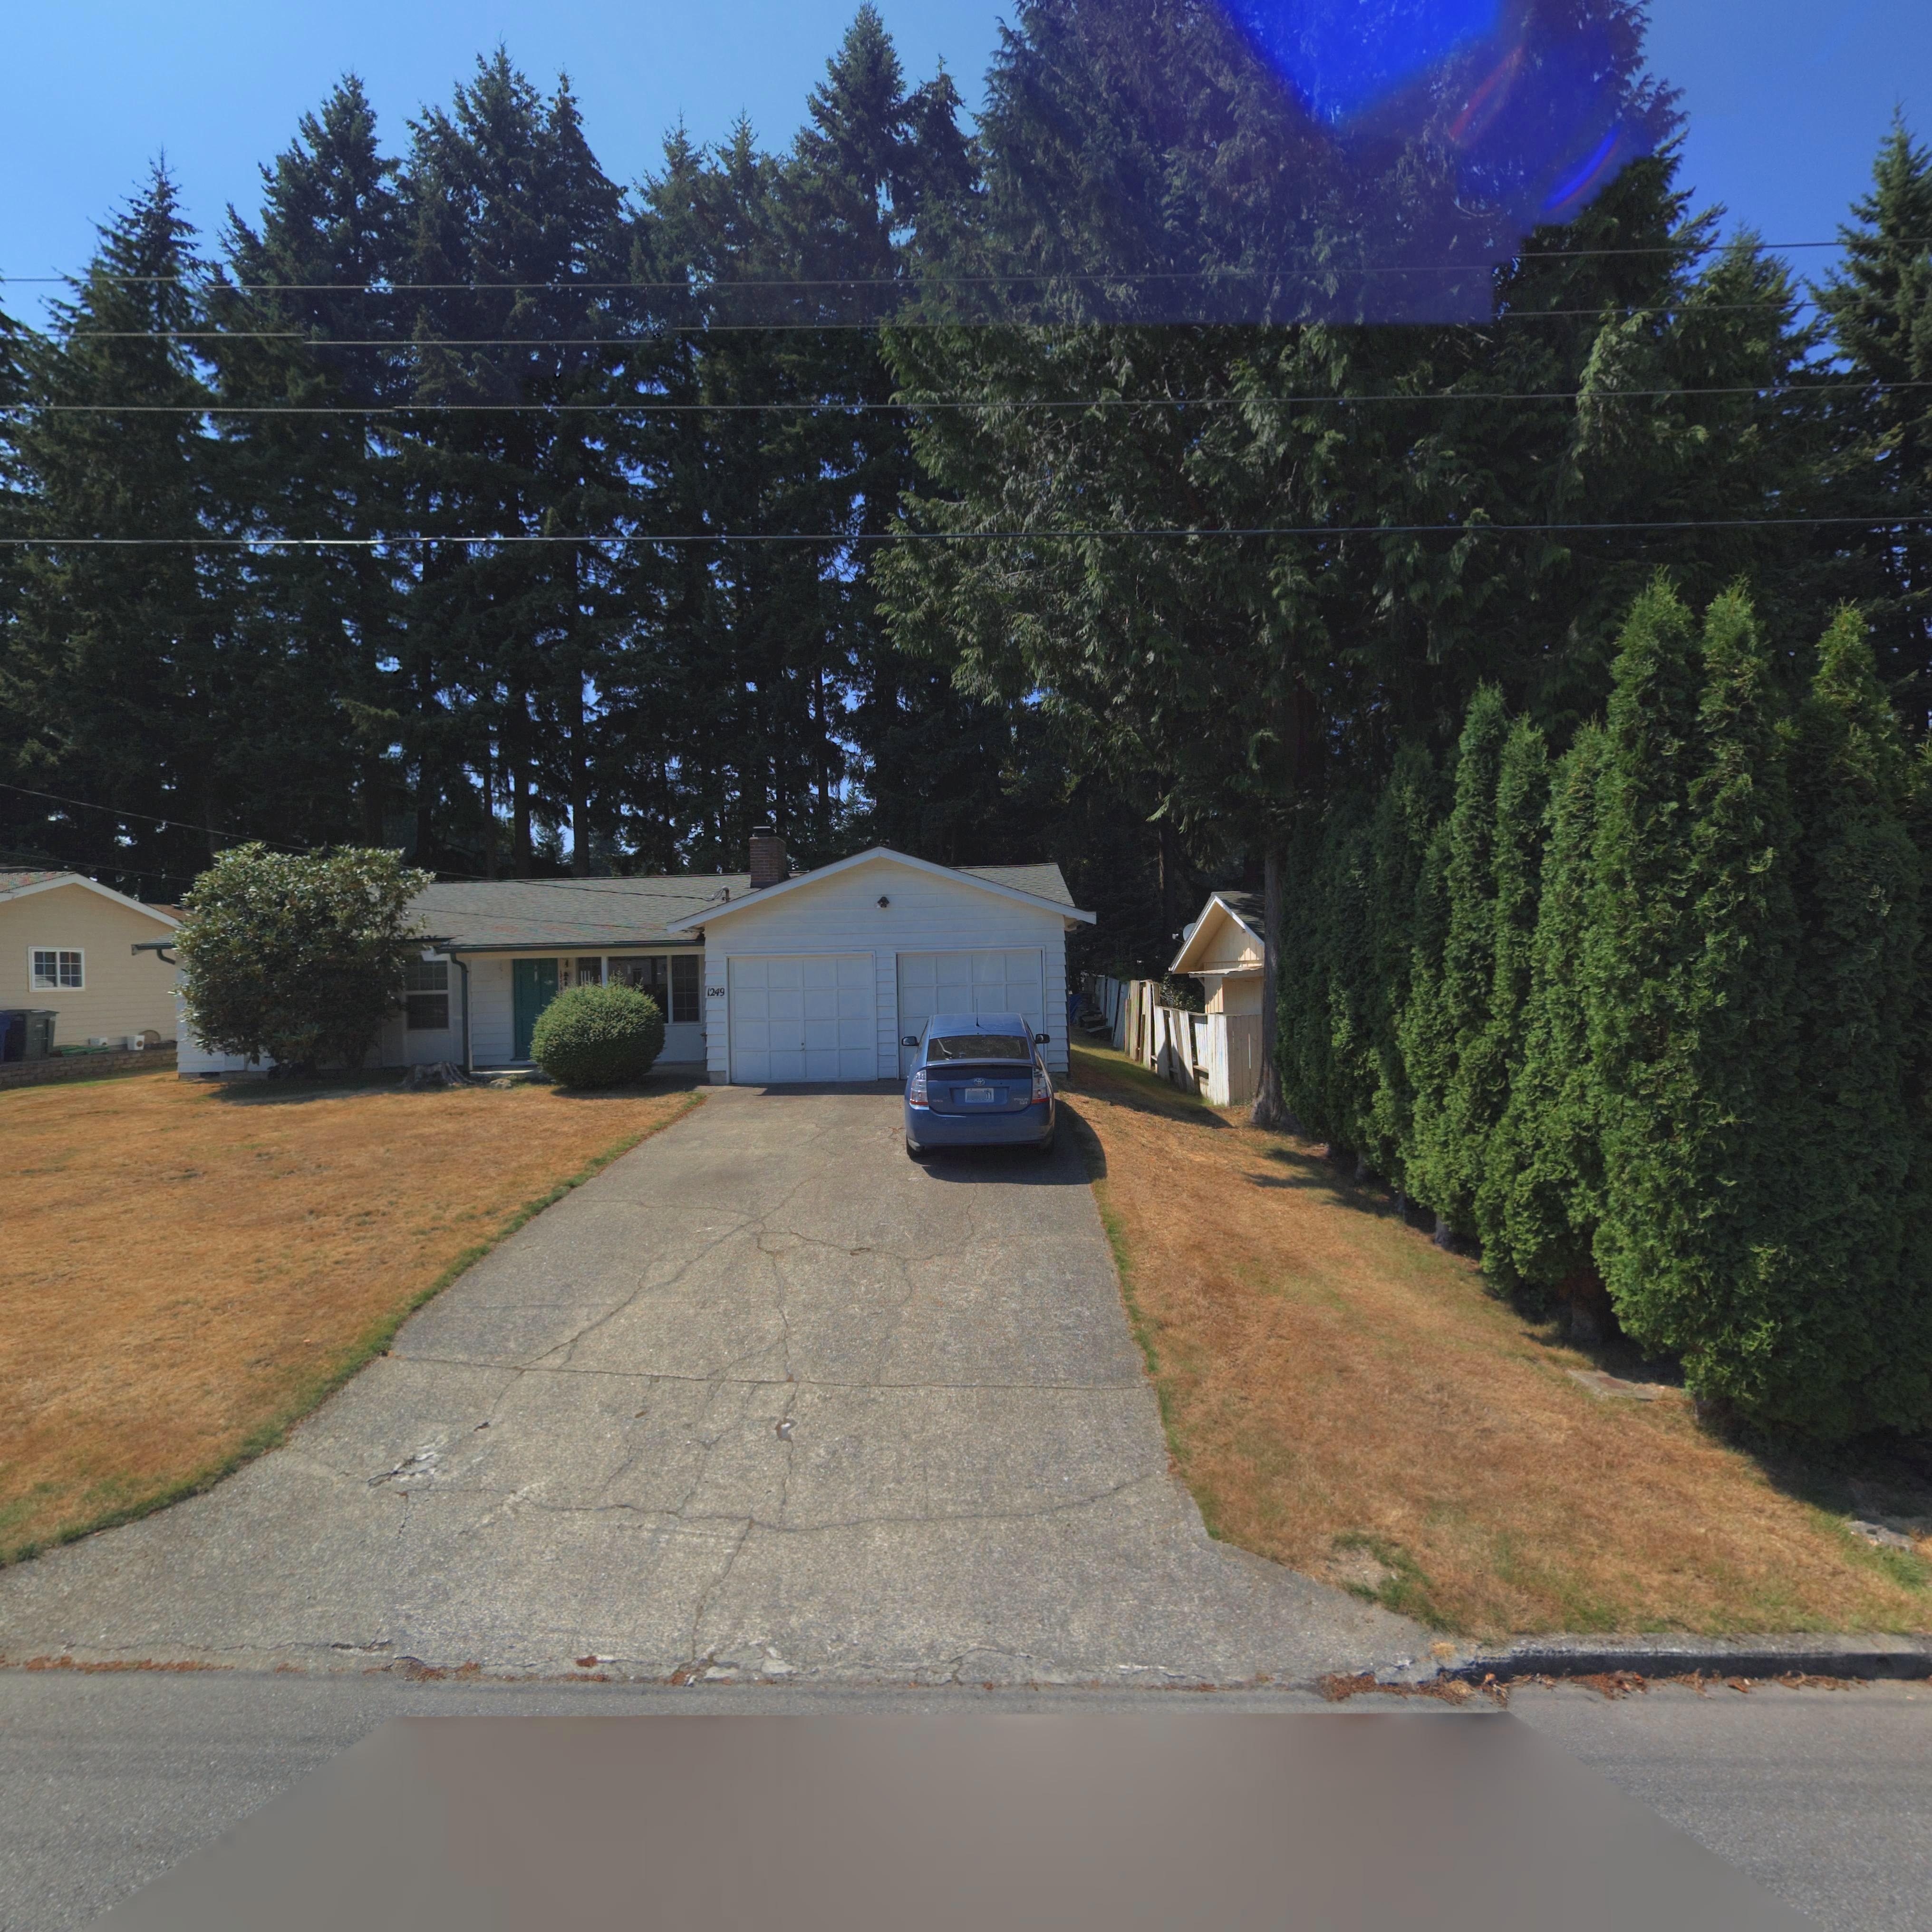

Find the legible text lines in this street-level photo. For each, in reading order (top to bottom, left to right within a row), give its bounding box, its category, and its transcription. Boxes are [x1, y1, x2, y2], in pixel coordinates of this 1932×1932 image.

[706, 987, 724, 996] StreetNumber: 1249